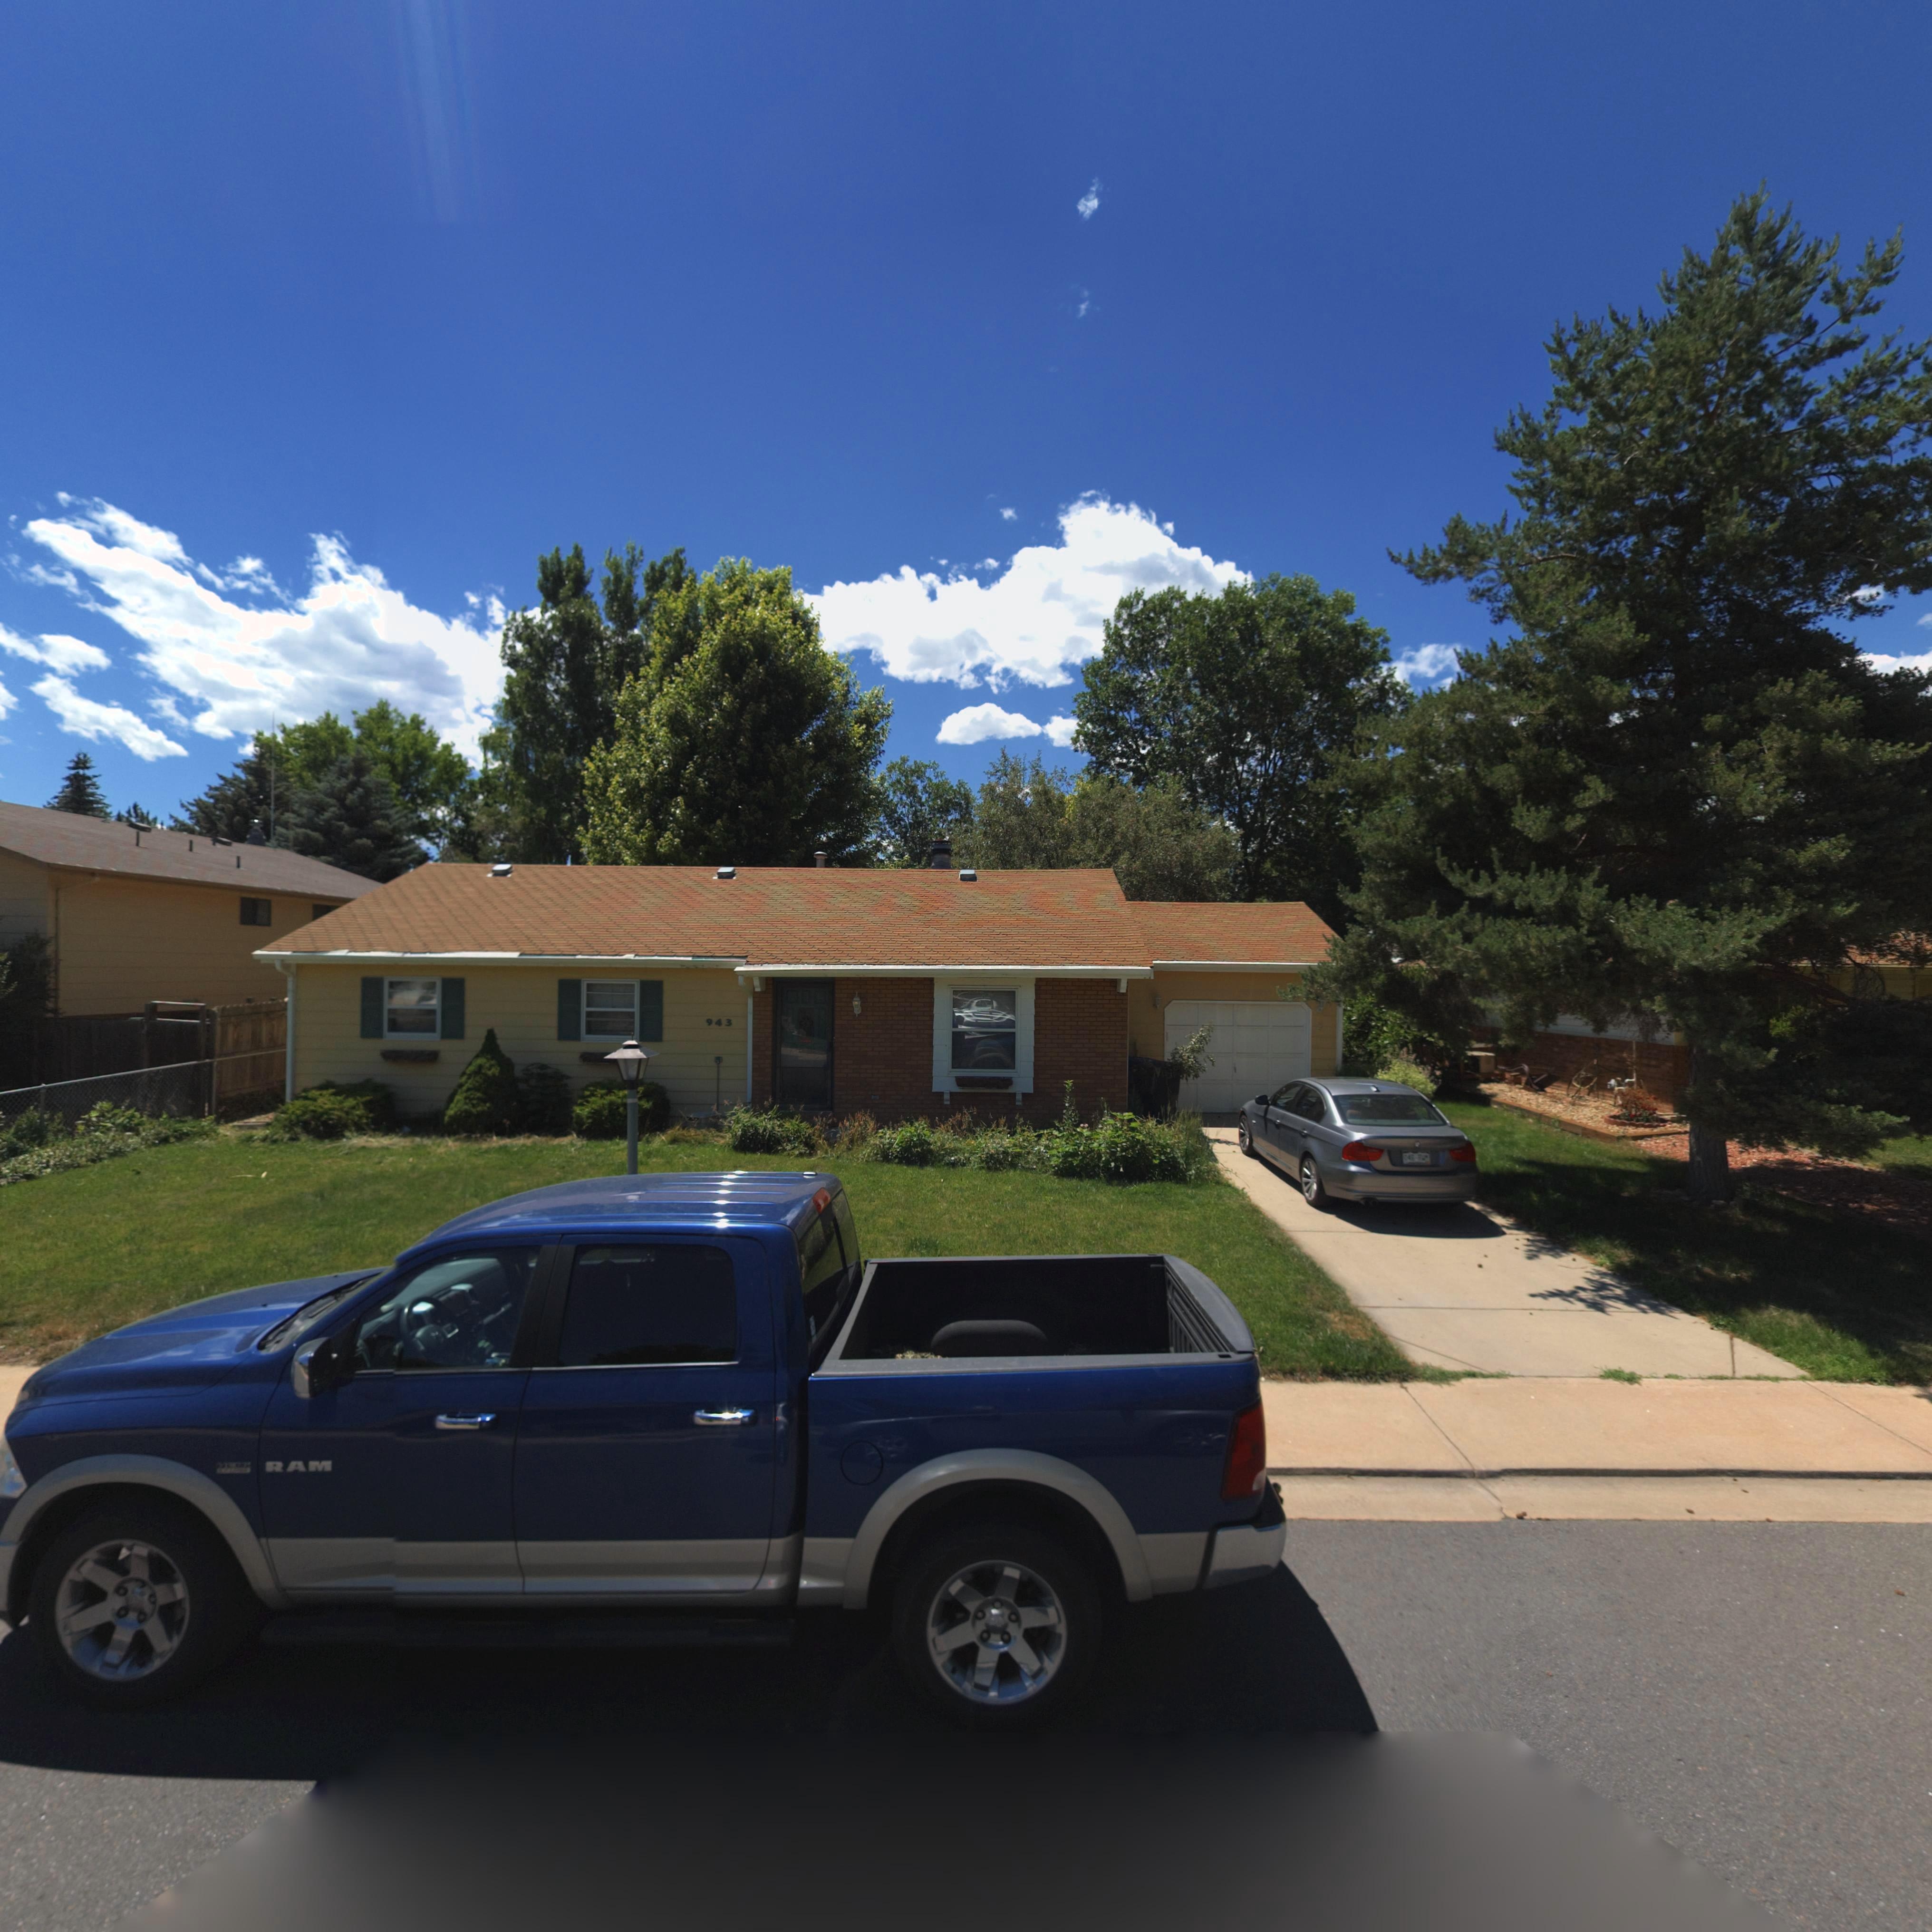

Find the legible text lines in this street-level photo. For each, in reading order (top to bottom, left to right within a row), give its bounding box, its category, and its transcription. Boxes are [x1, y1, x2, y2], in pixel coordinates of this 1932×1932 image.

[706, 1017, 732, 1026] StreetNumber: 943